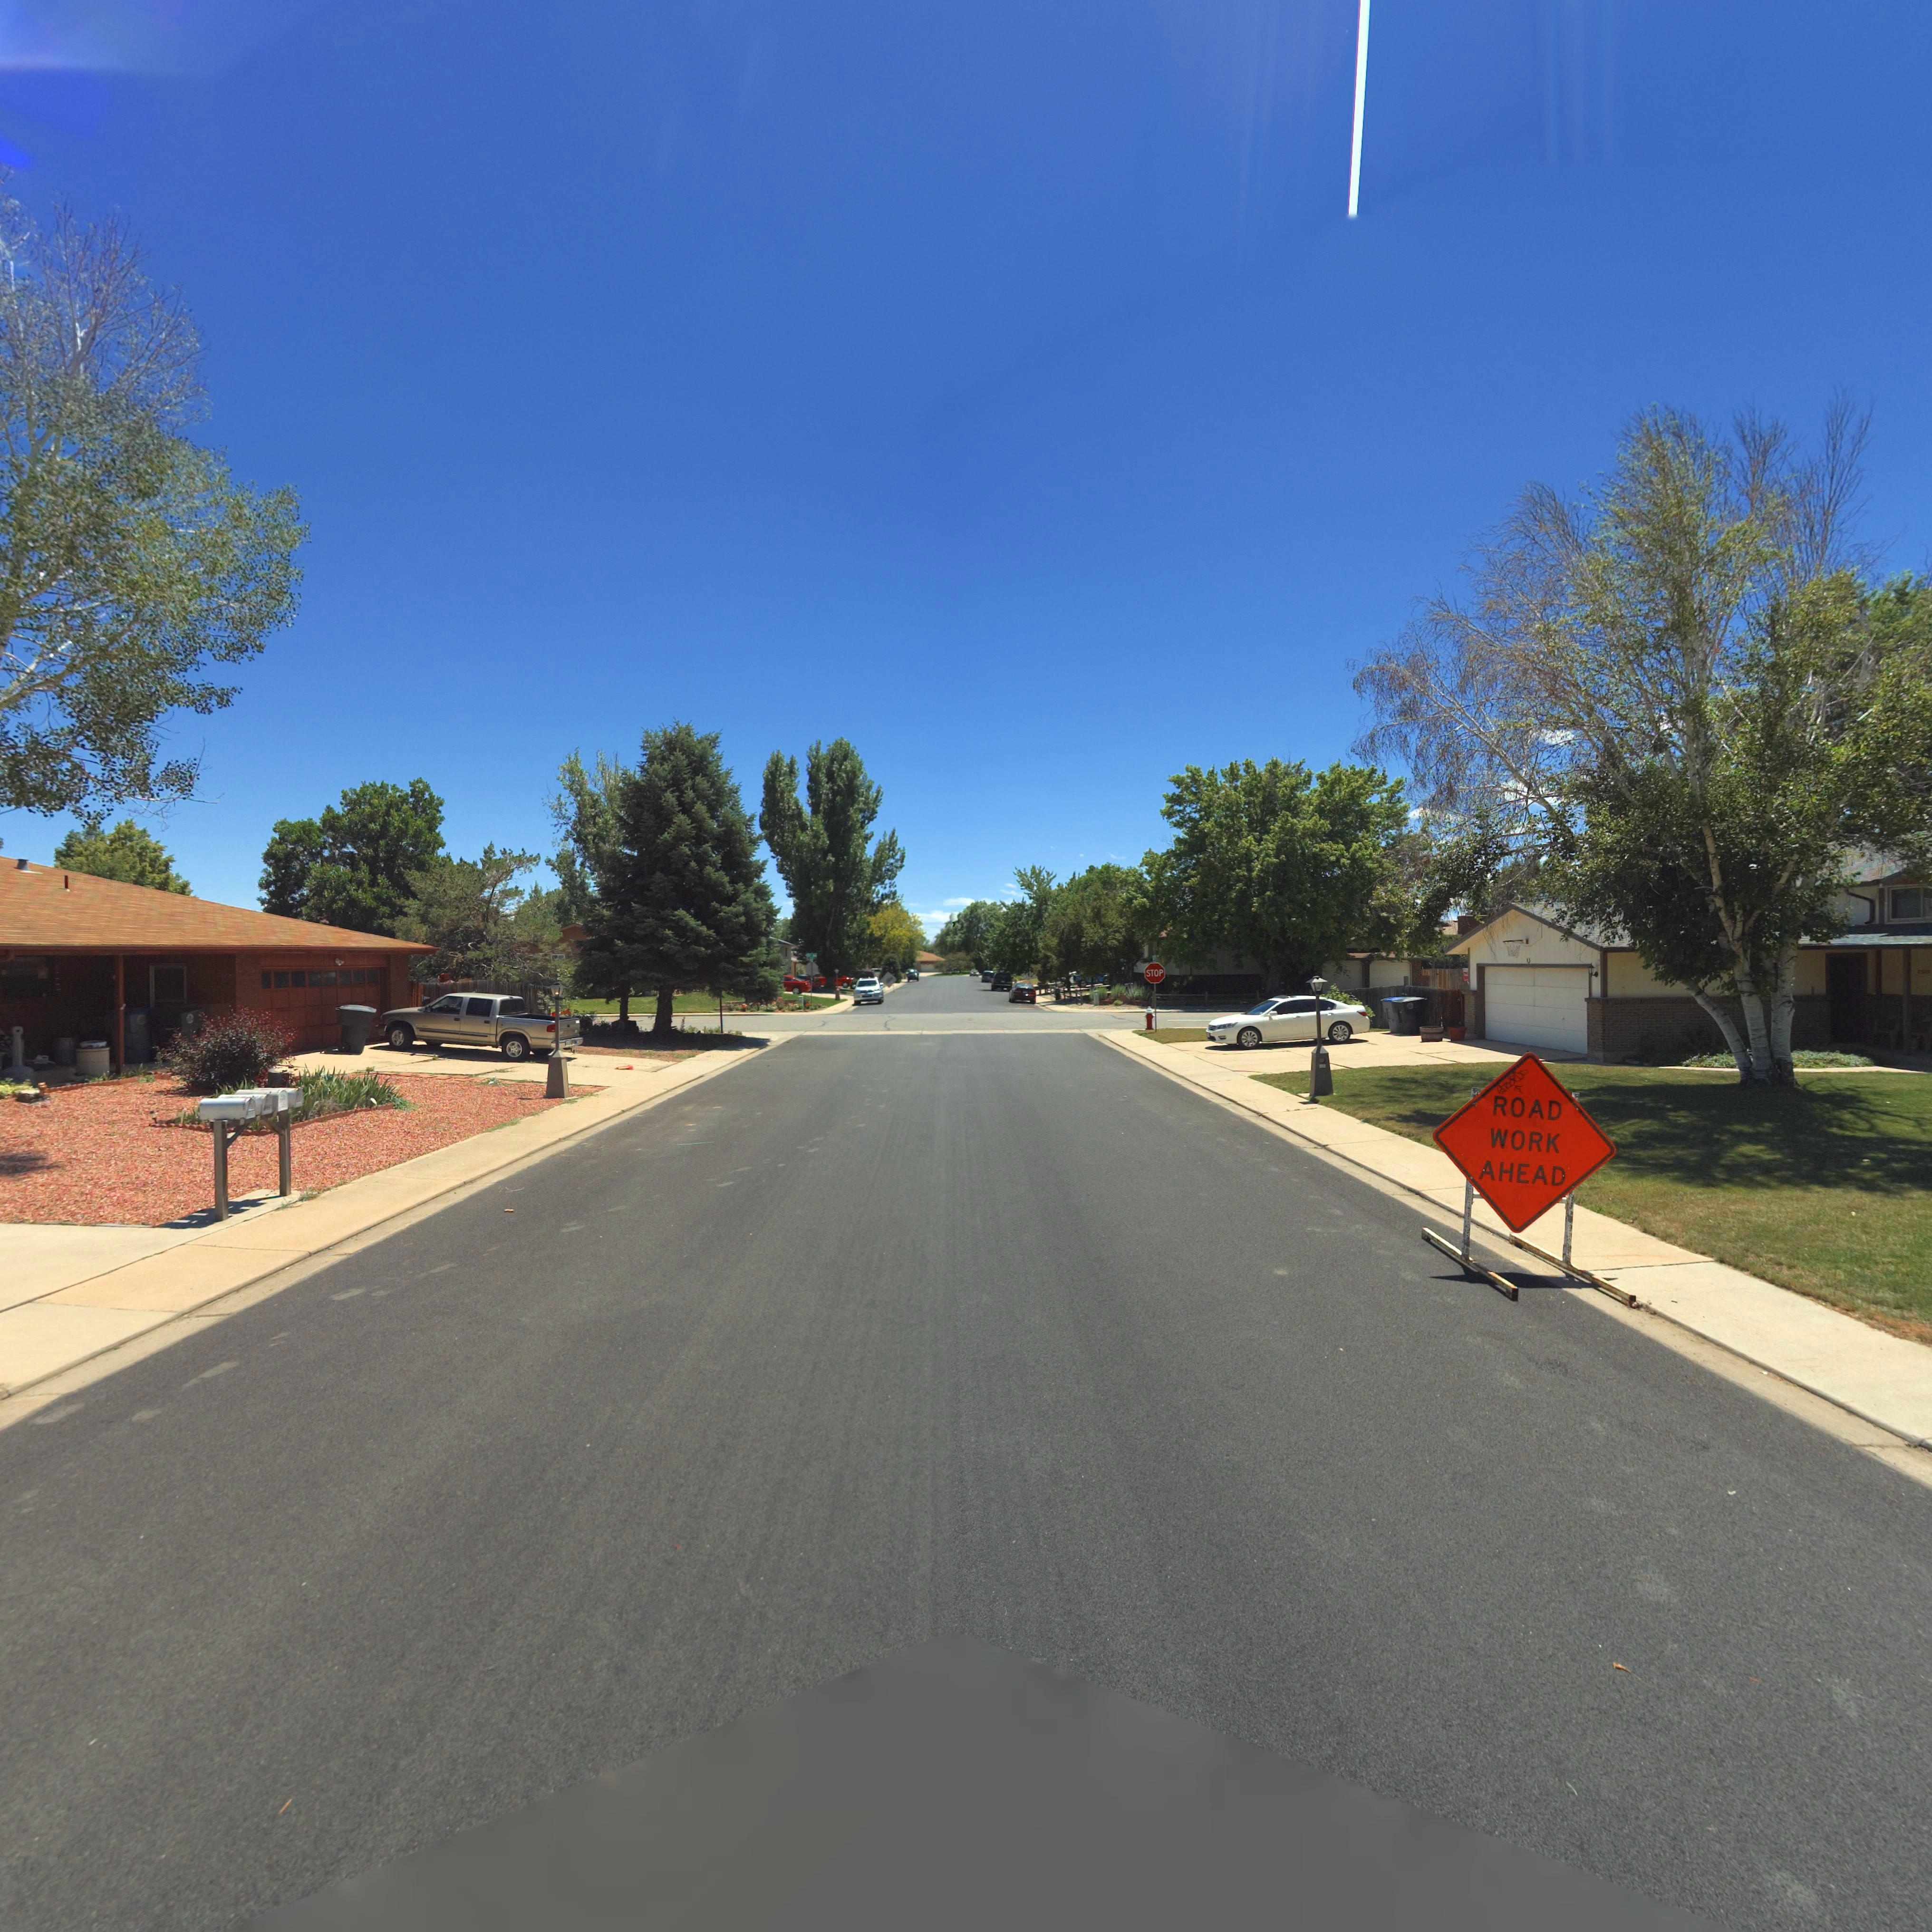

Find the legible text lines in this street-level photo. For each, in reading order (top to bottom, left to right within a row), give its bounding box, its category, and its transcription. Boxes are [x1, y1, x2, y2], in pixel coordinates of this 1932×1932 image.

[1917, 969, 1930, 974] StreetNumber: 2305